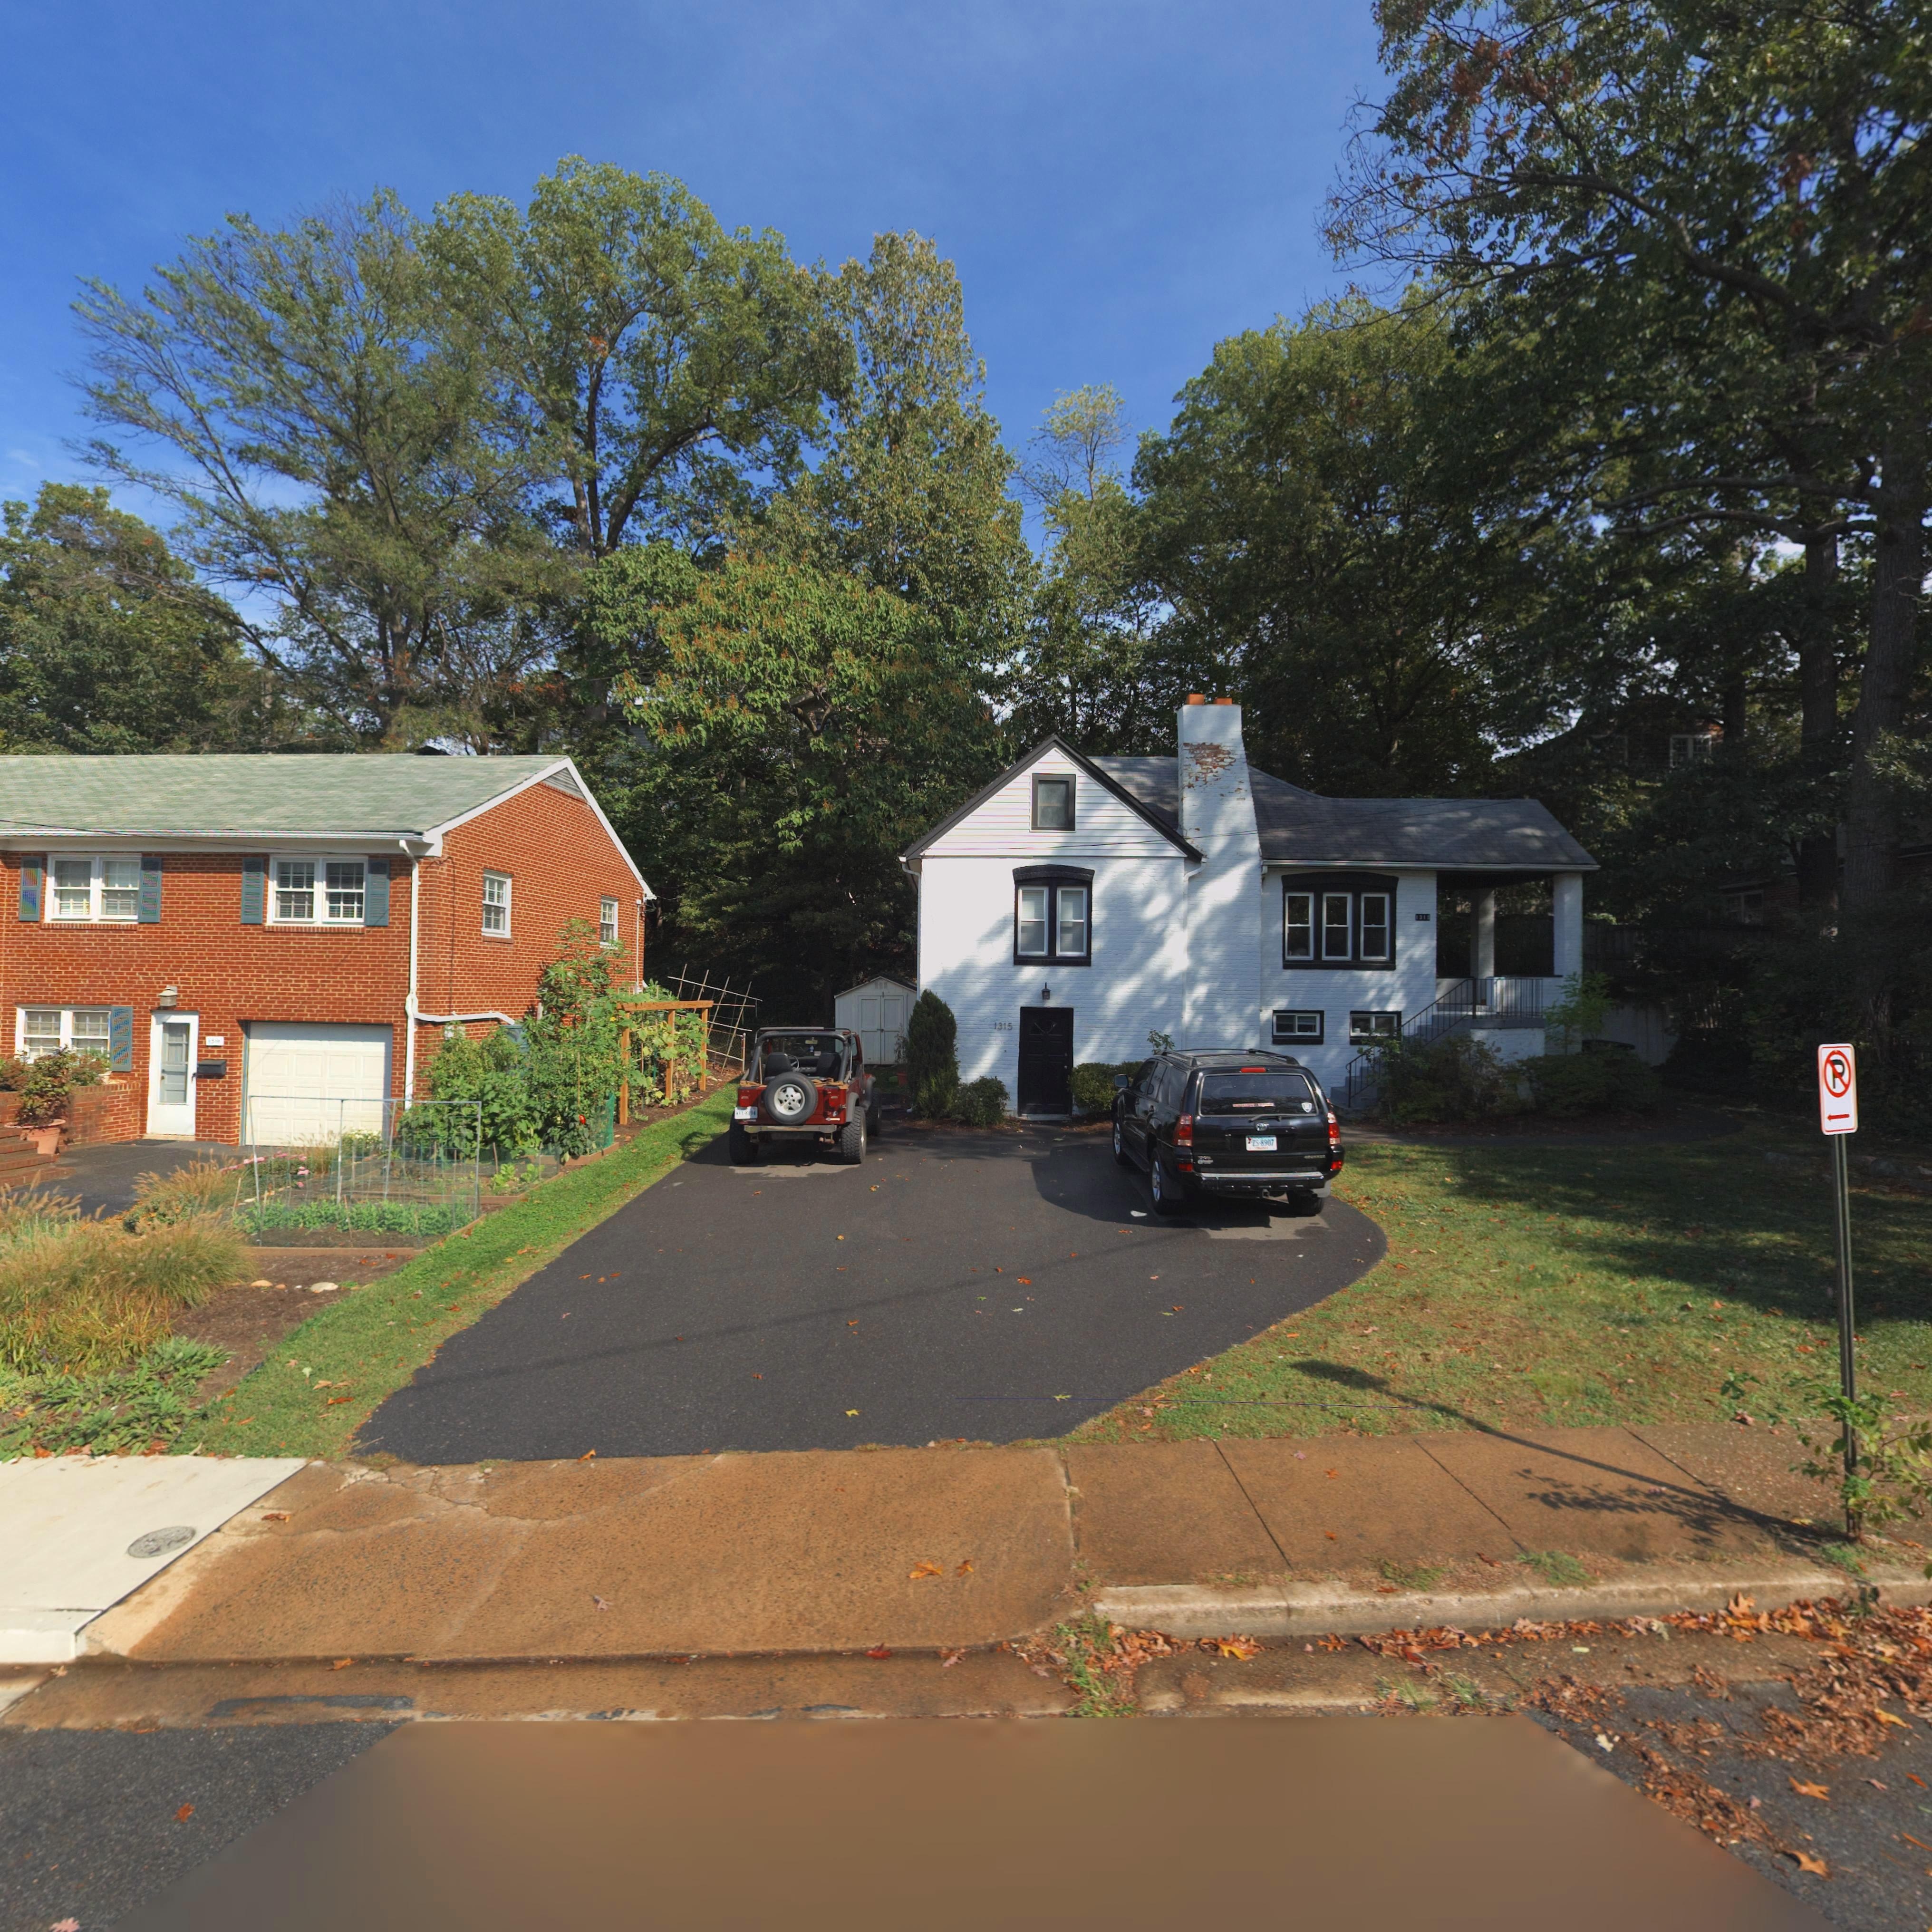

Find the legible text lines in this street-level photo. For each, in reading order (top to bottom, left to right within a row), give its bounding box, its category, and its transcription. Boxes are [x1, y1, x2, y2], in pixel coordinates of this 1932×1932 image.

[1415, 914, 1430, 920] StreetNumber: 1315
[994, 1021, 1013, 1031] StreetNumber: 1315
[208, 1039, 221, 1044] StreetNumber: 13**
[744, 1110, 756, 1116] None: 8194
[1252, 1139, 1275, 1147] None: ZS*8907